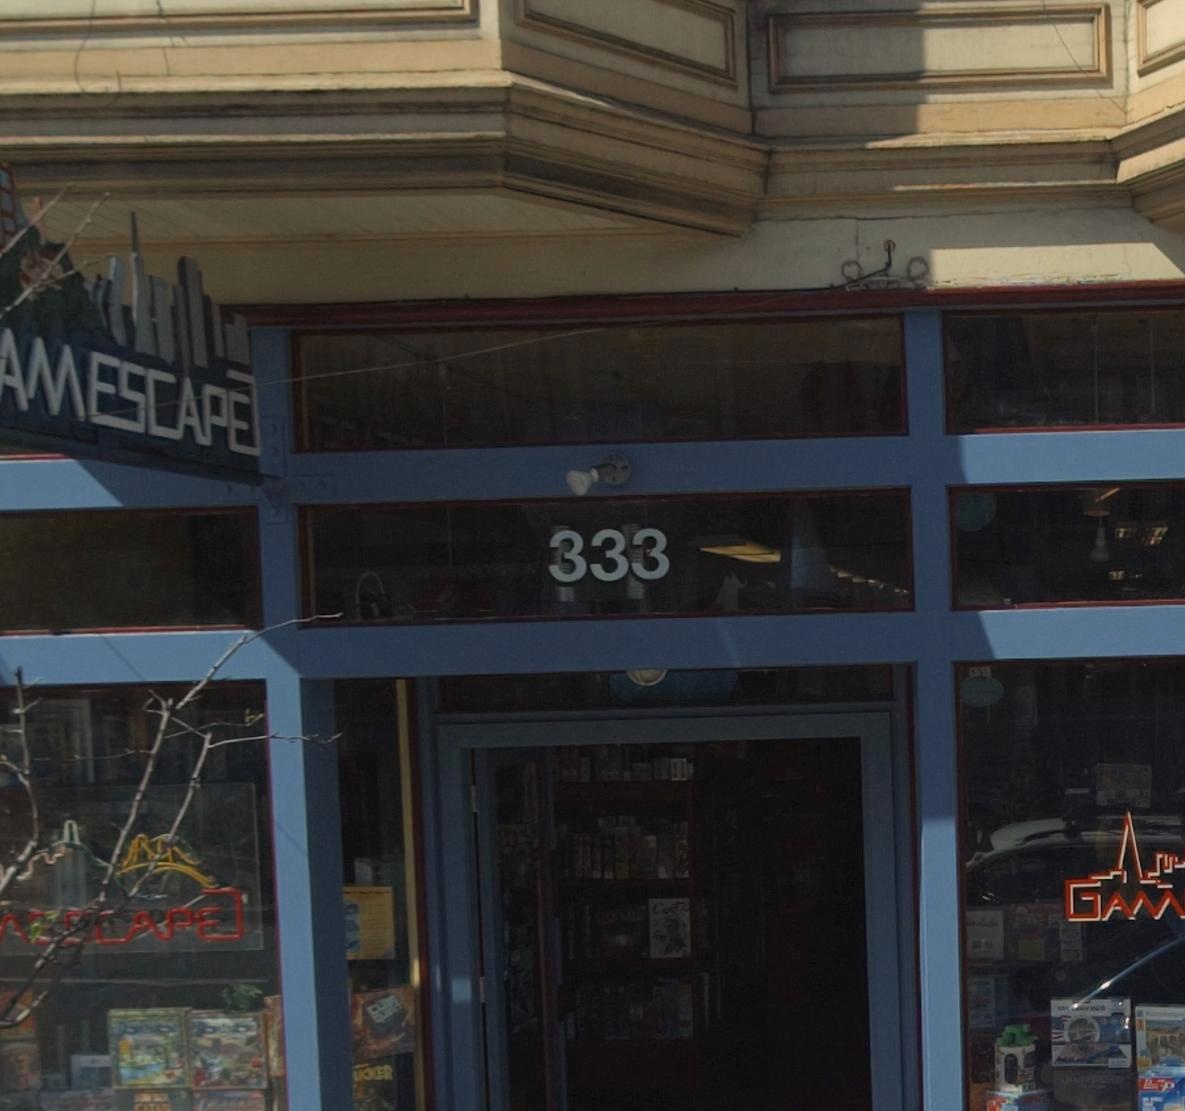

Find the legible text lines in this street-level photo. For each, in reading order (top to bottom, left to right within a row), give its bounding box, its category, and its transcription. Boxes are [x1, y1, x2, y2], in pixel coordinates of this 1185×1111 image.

[21, 329, 264, 460] BusinessName: MESCAPE
[546, 526, 672, 585] StreetNumber: 333
[122, 903, 225, 943] BusinessName: APE
[1058, 874, 1185, 927] BusinessName: GAM